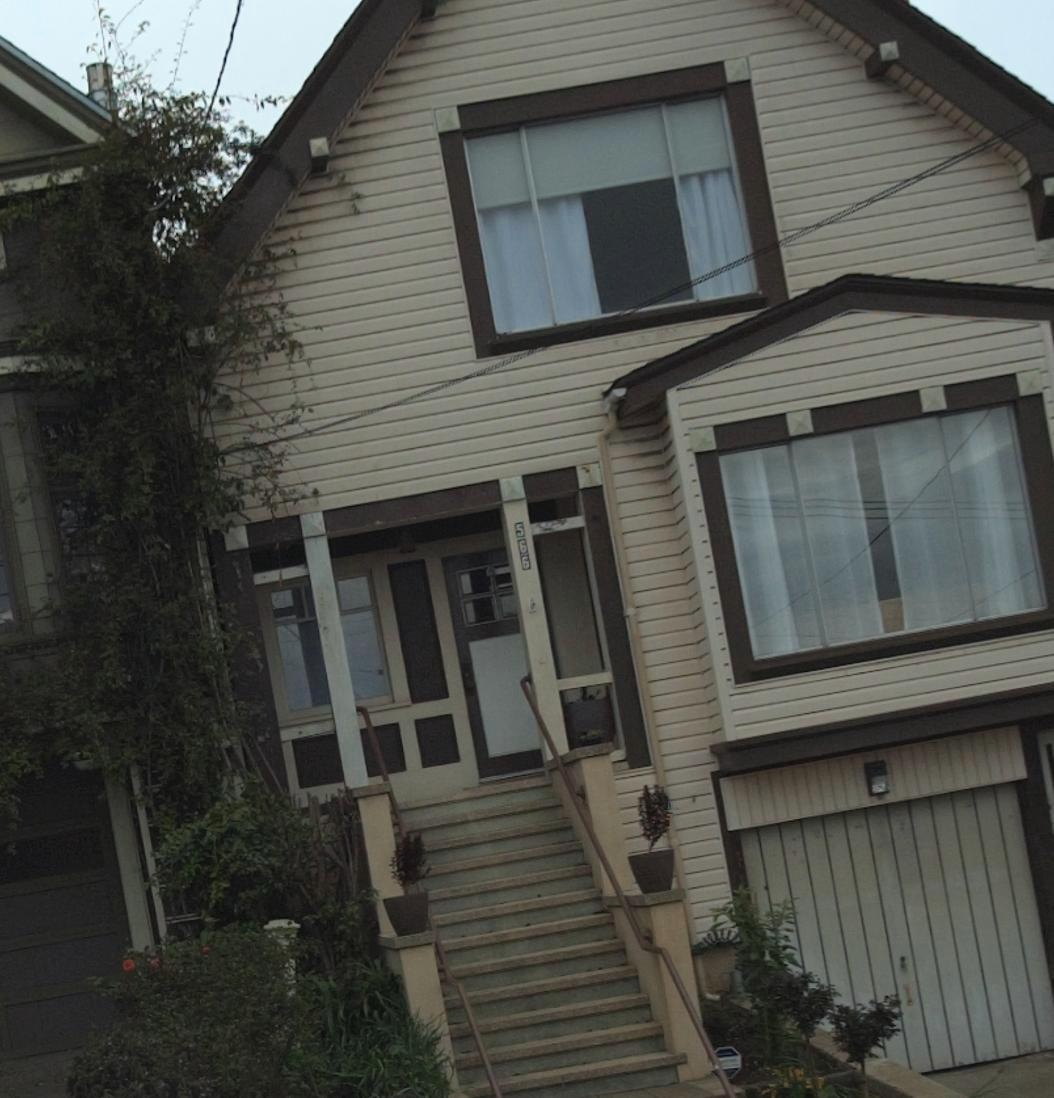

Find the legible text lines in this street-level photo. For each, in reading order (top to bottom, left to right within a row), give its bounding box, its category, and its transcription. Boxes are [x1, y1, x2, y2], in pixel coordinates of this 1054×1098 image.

[514, 520, 531, 571] StreetNumber: 566